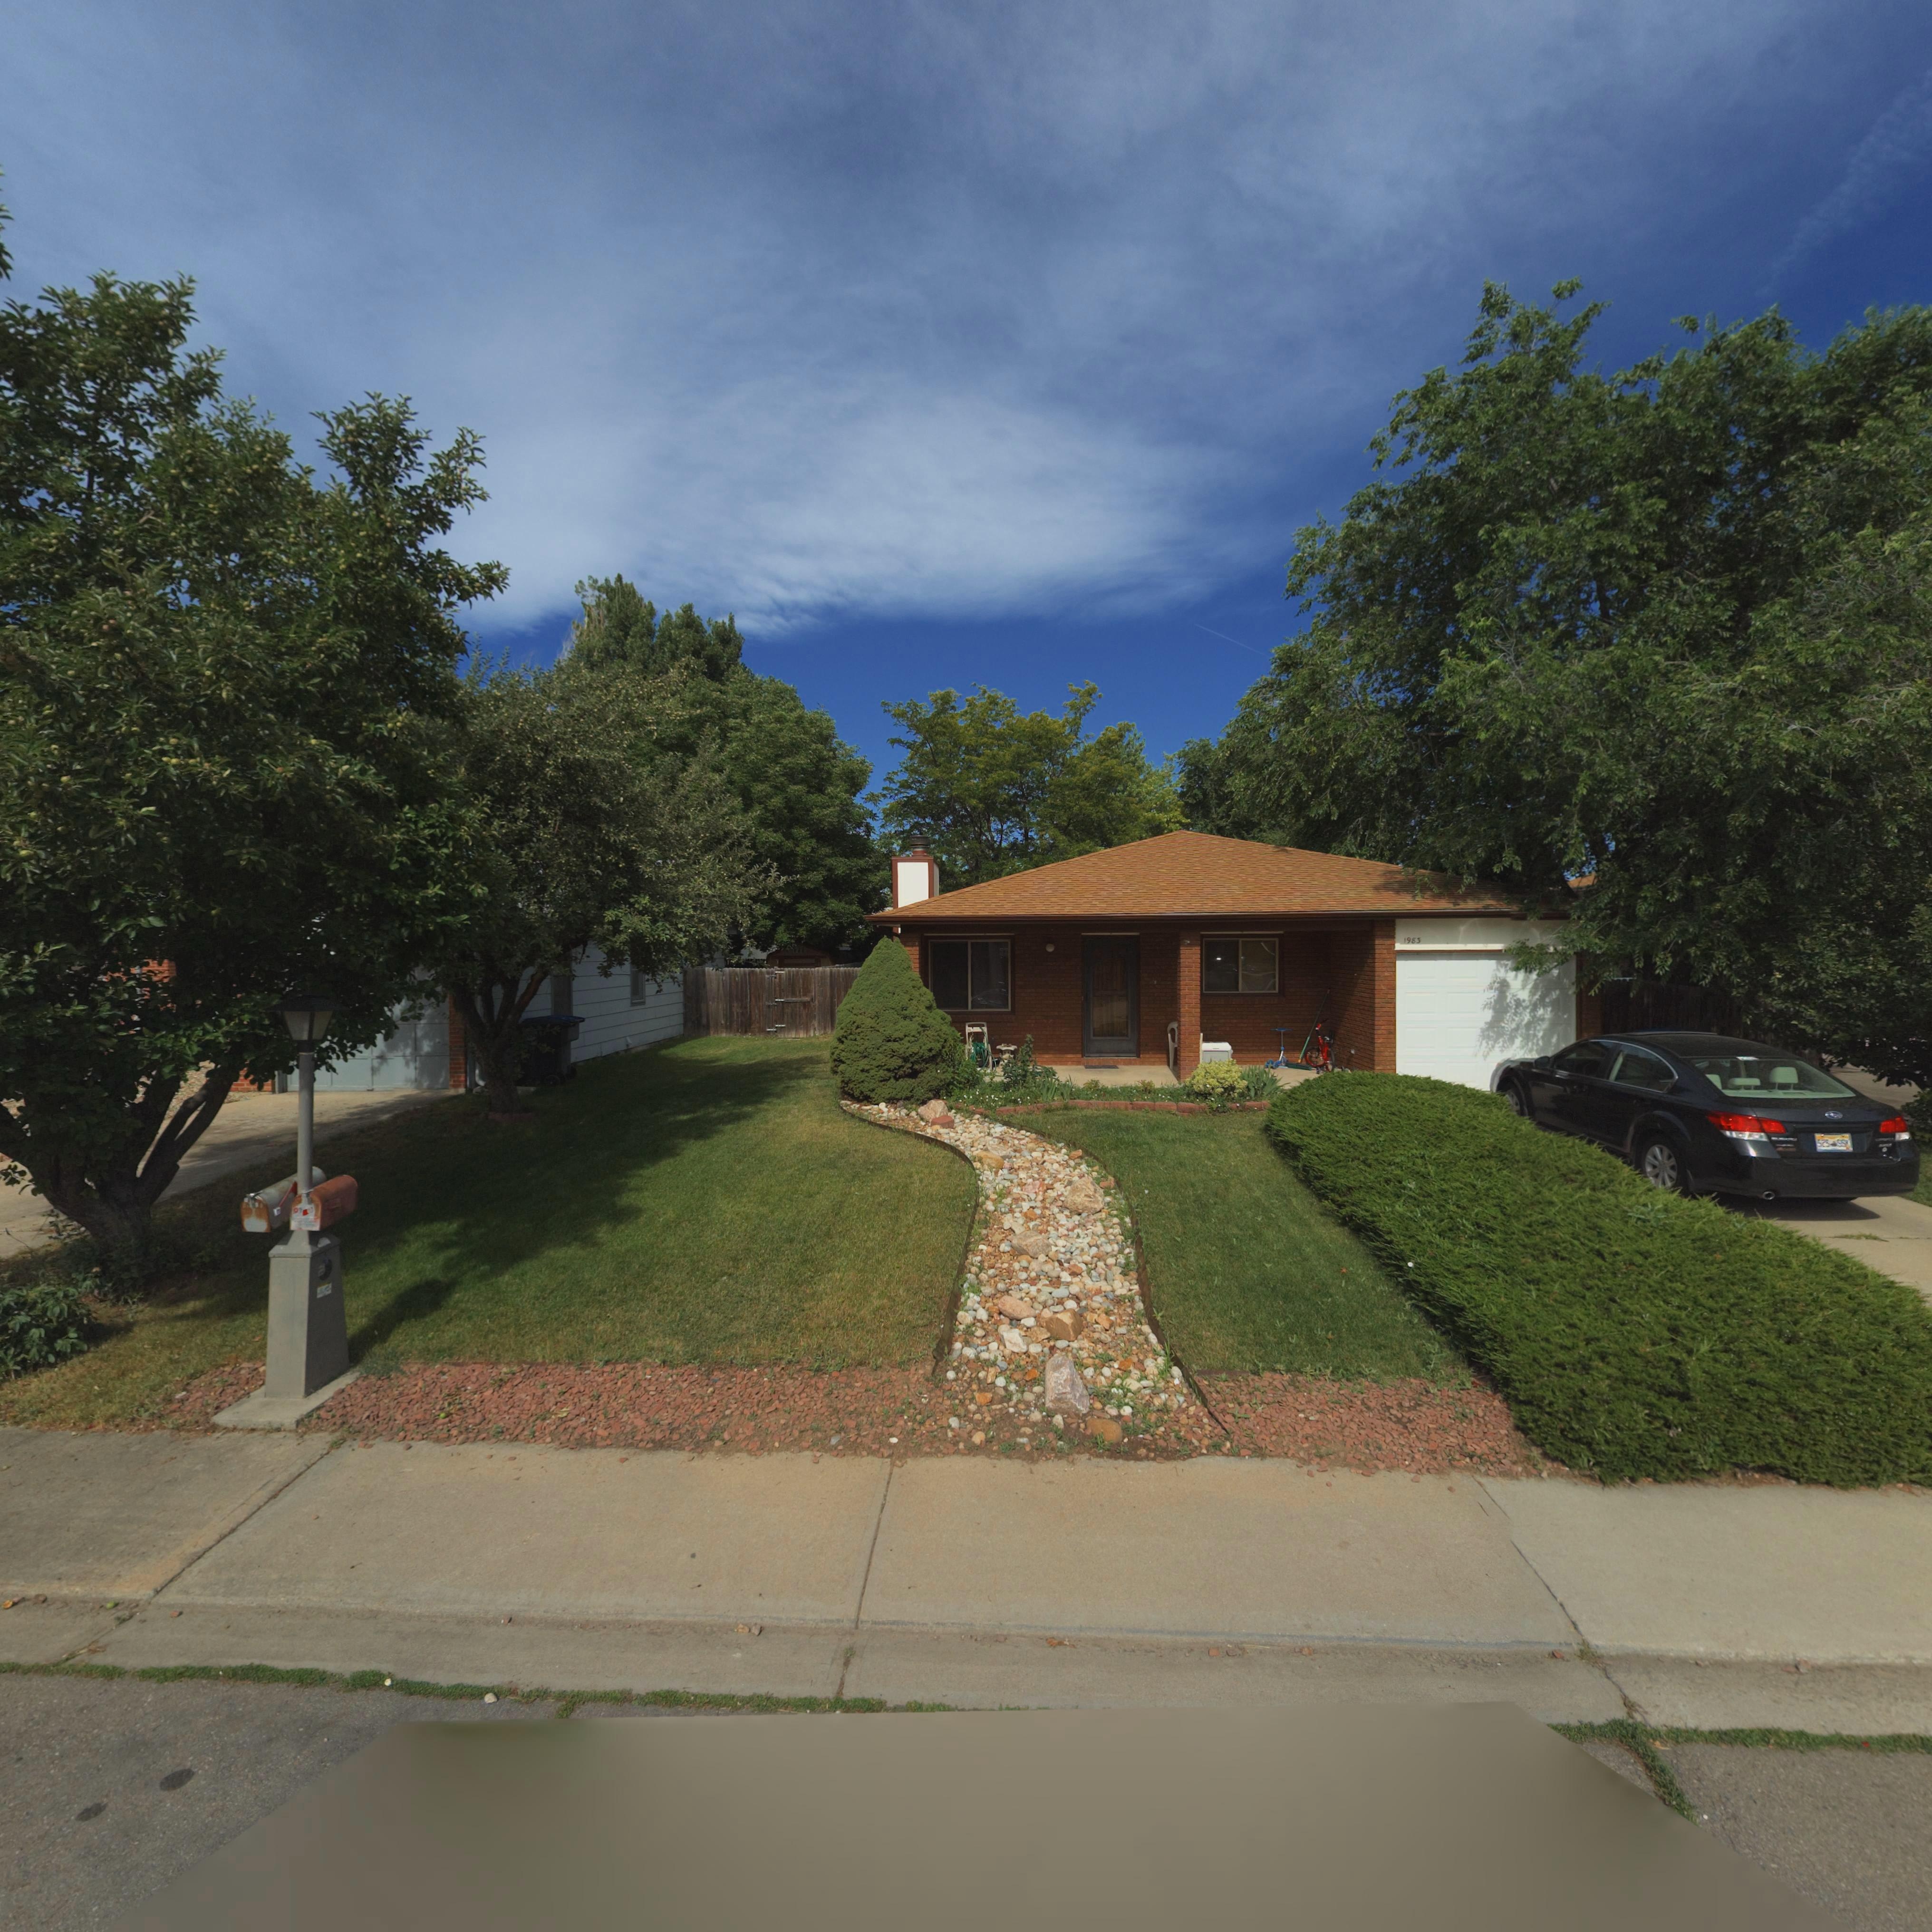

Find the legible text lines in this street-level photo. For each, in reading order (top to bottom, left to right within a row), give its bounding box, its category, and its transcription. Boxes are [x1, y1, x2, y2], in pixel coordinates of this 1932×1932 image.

[1404, 937, 1421, 944] StreetNumber: 1983